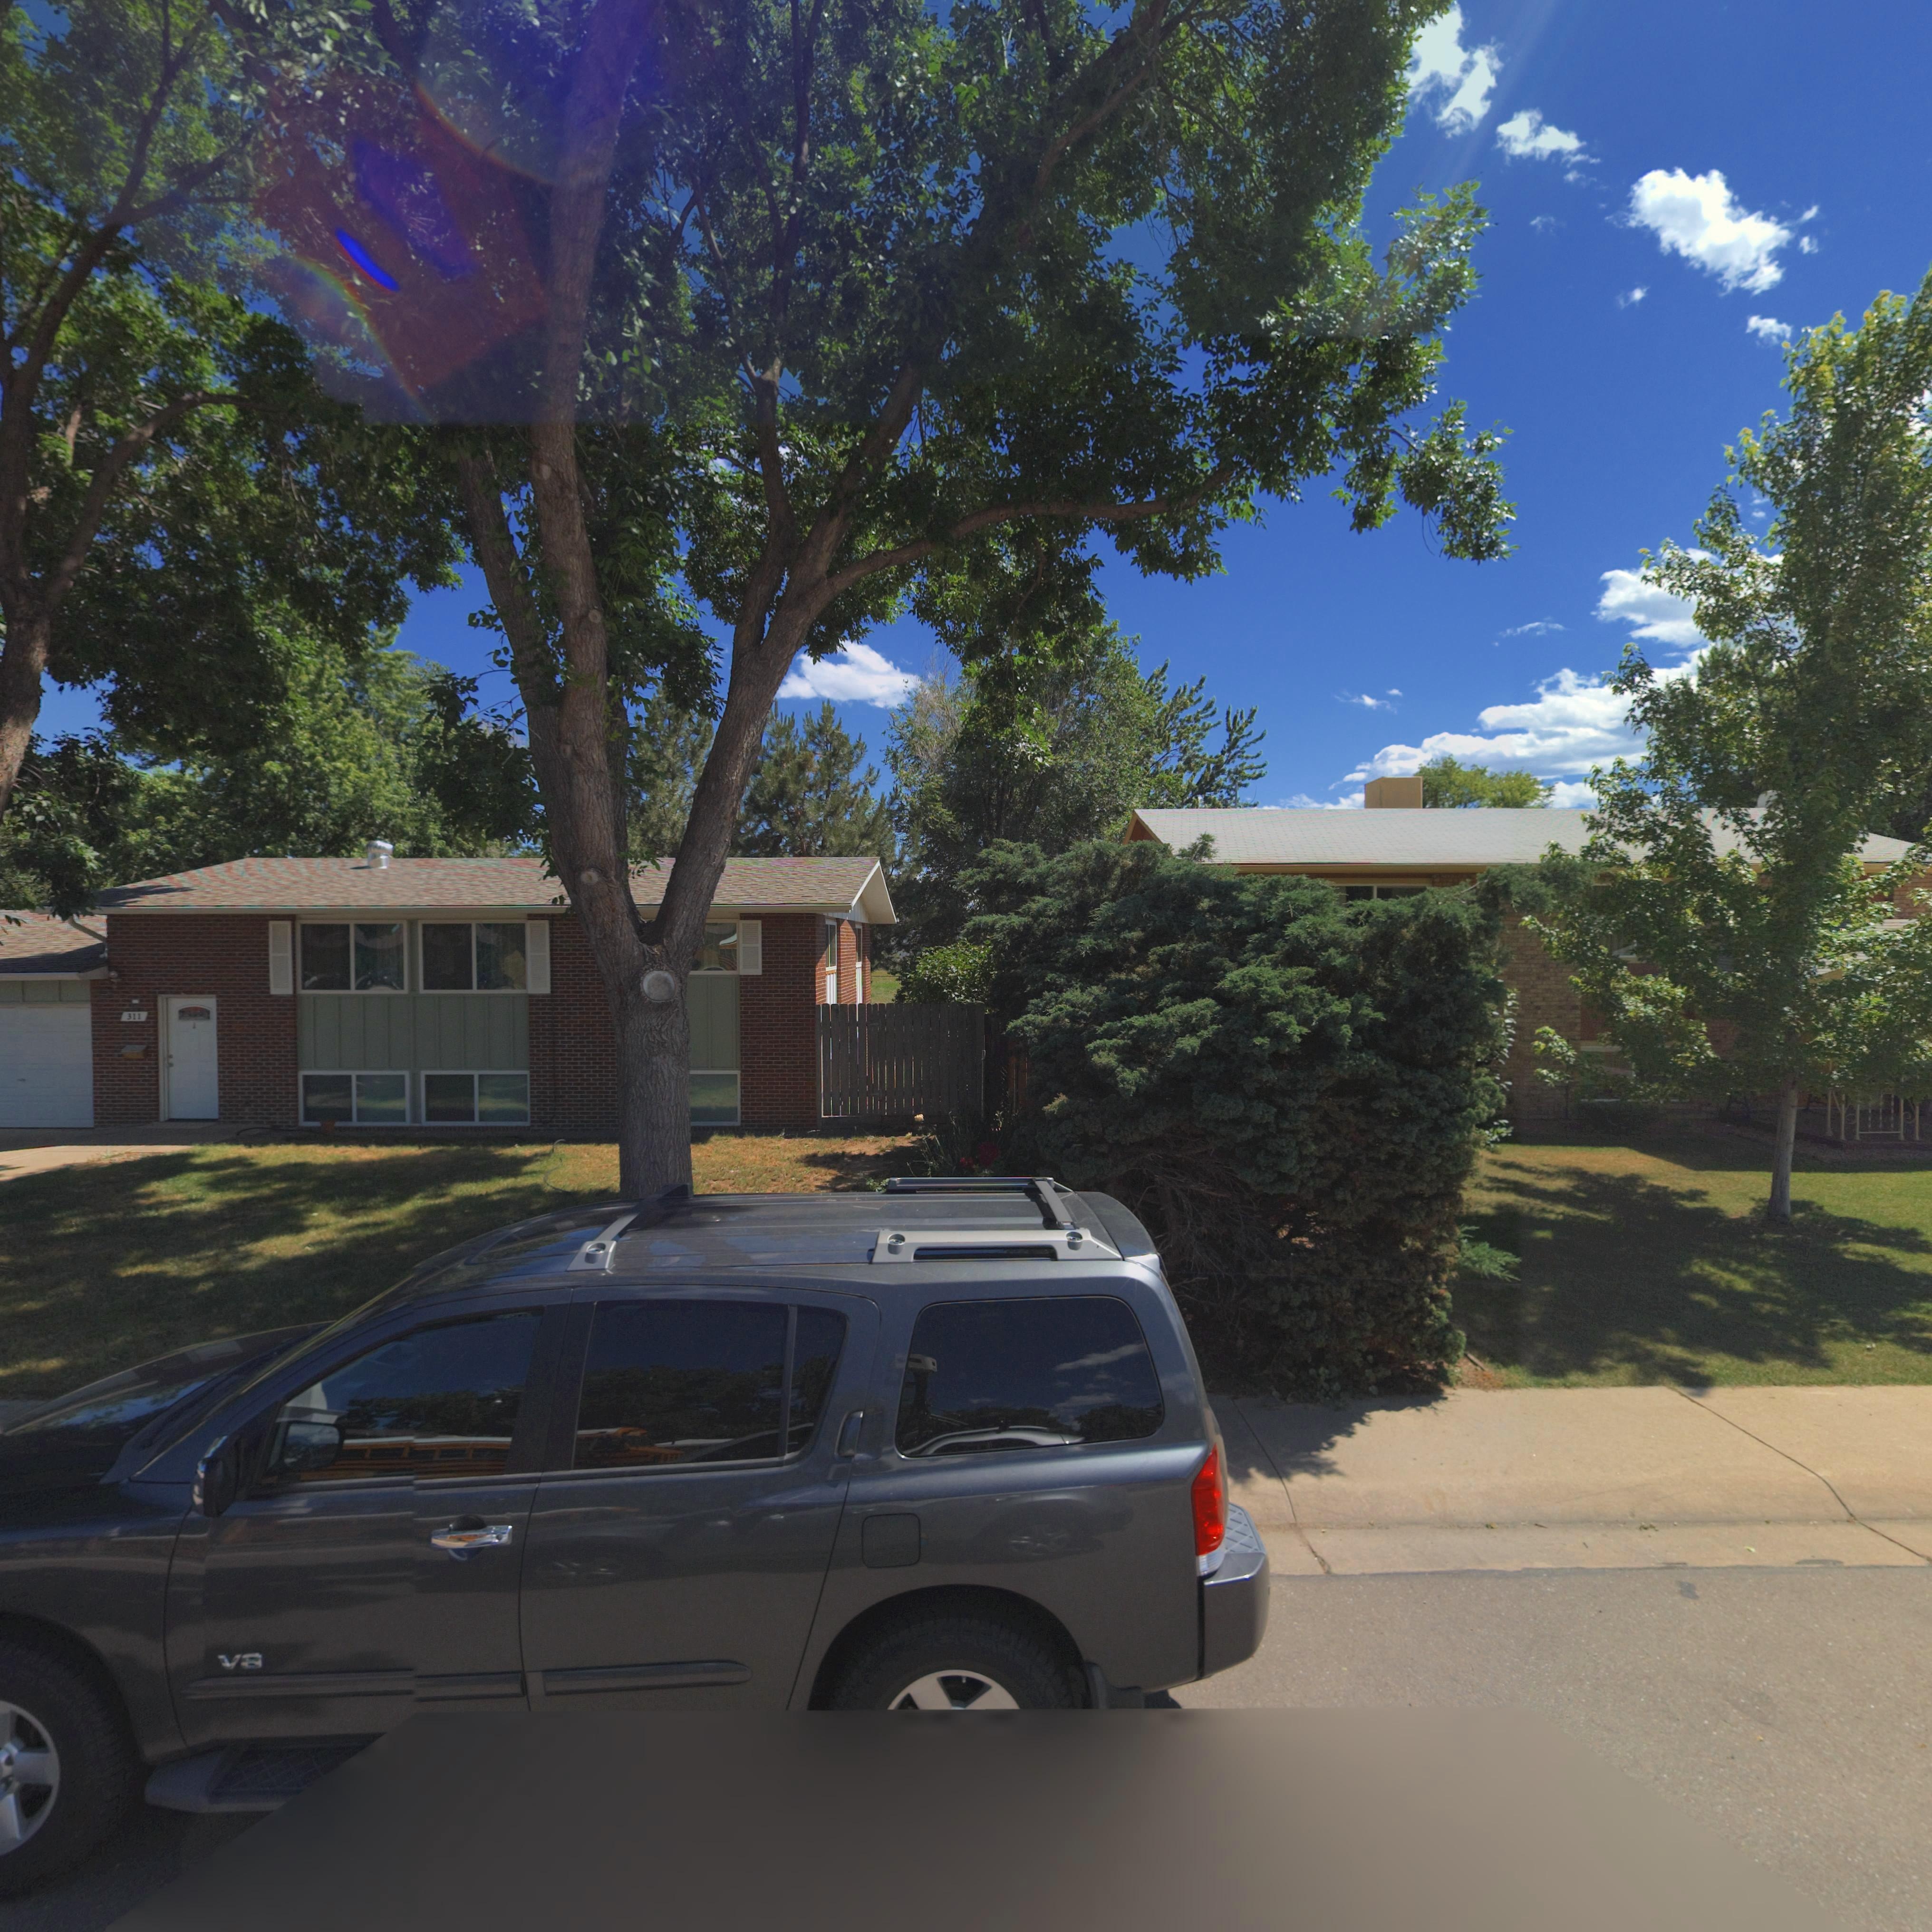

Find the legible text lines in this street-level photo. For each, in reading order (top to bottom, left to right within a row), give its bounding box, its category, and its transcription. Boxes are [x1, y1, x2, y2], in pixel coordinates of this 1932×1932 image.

[126, 1012, 141, 1020] StreetNumber: 311